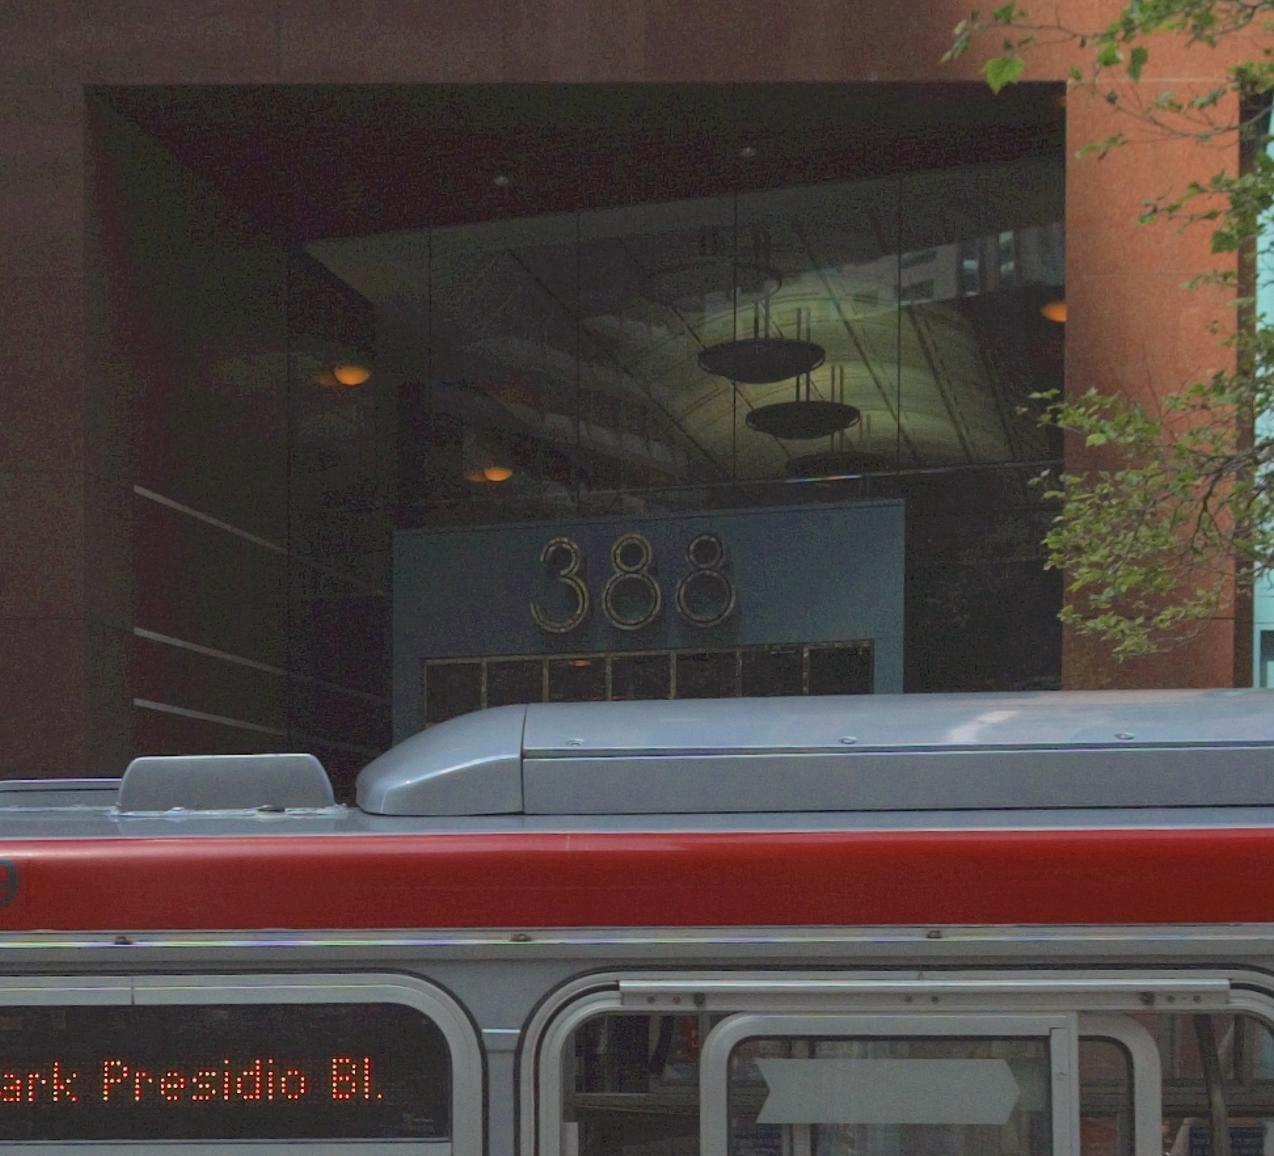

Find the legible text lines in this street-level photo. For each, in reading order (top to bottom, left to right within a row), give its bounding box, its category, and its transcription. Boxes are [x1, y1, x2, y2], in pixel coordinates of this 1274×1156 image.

[526, 530, 743, 639] StreetNumber: 388
[18, 1054, 387, 1104] None: rk Presidio Bl.